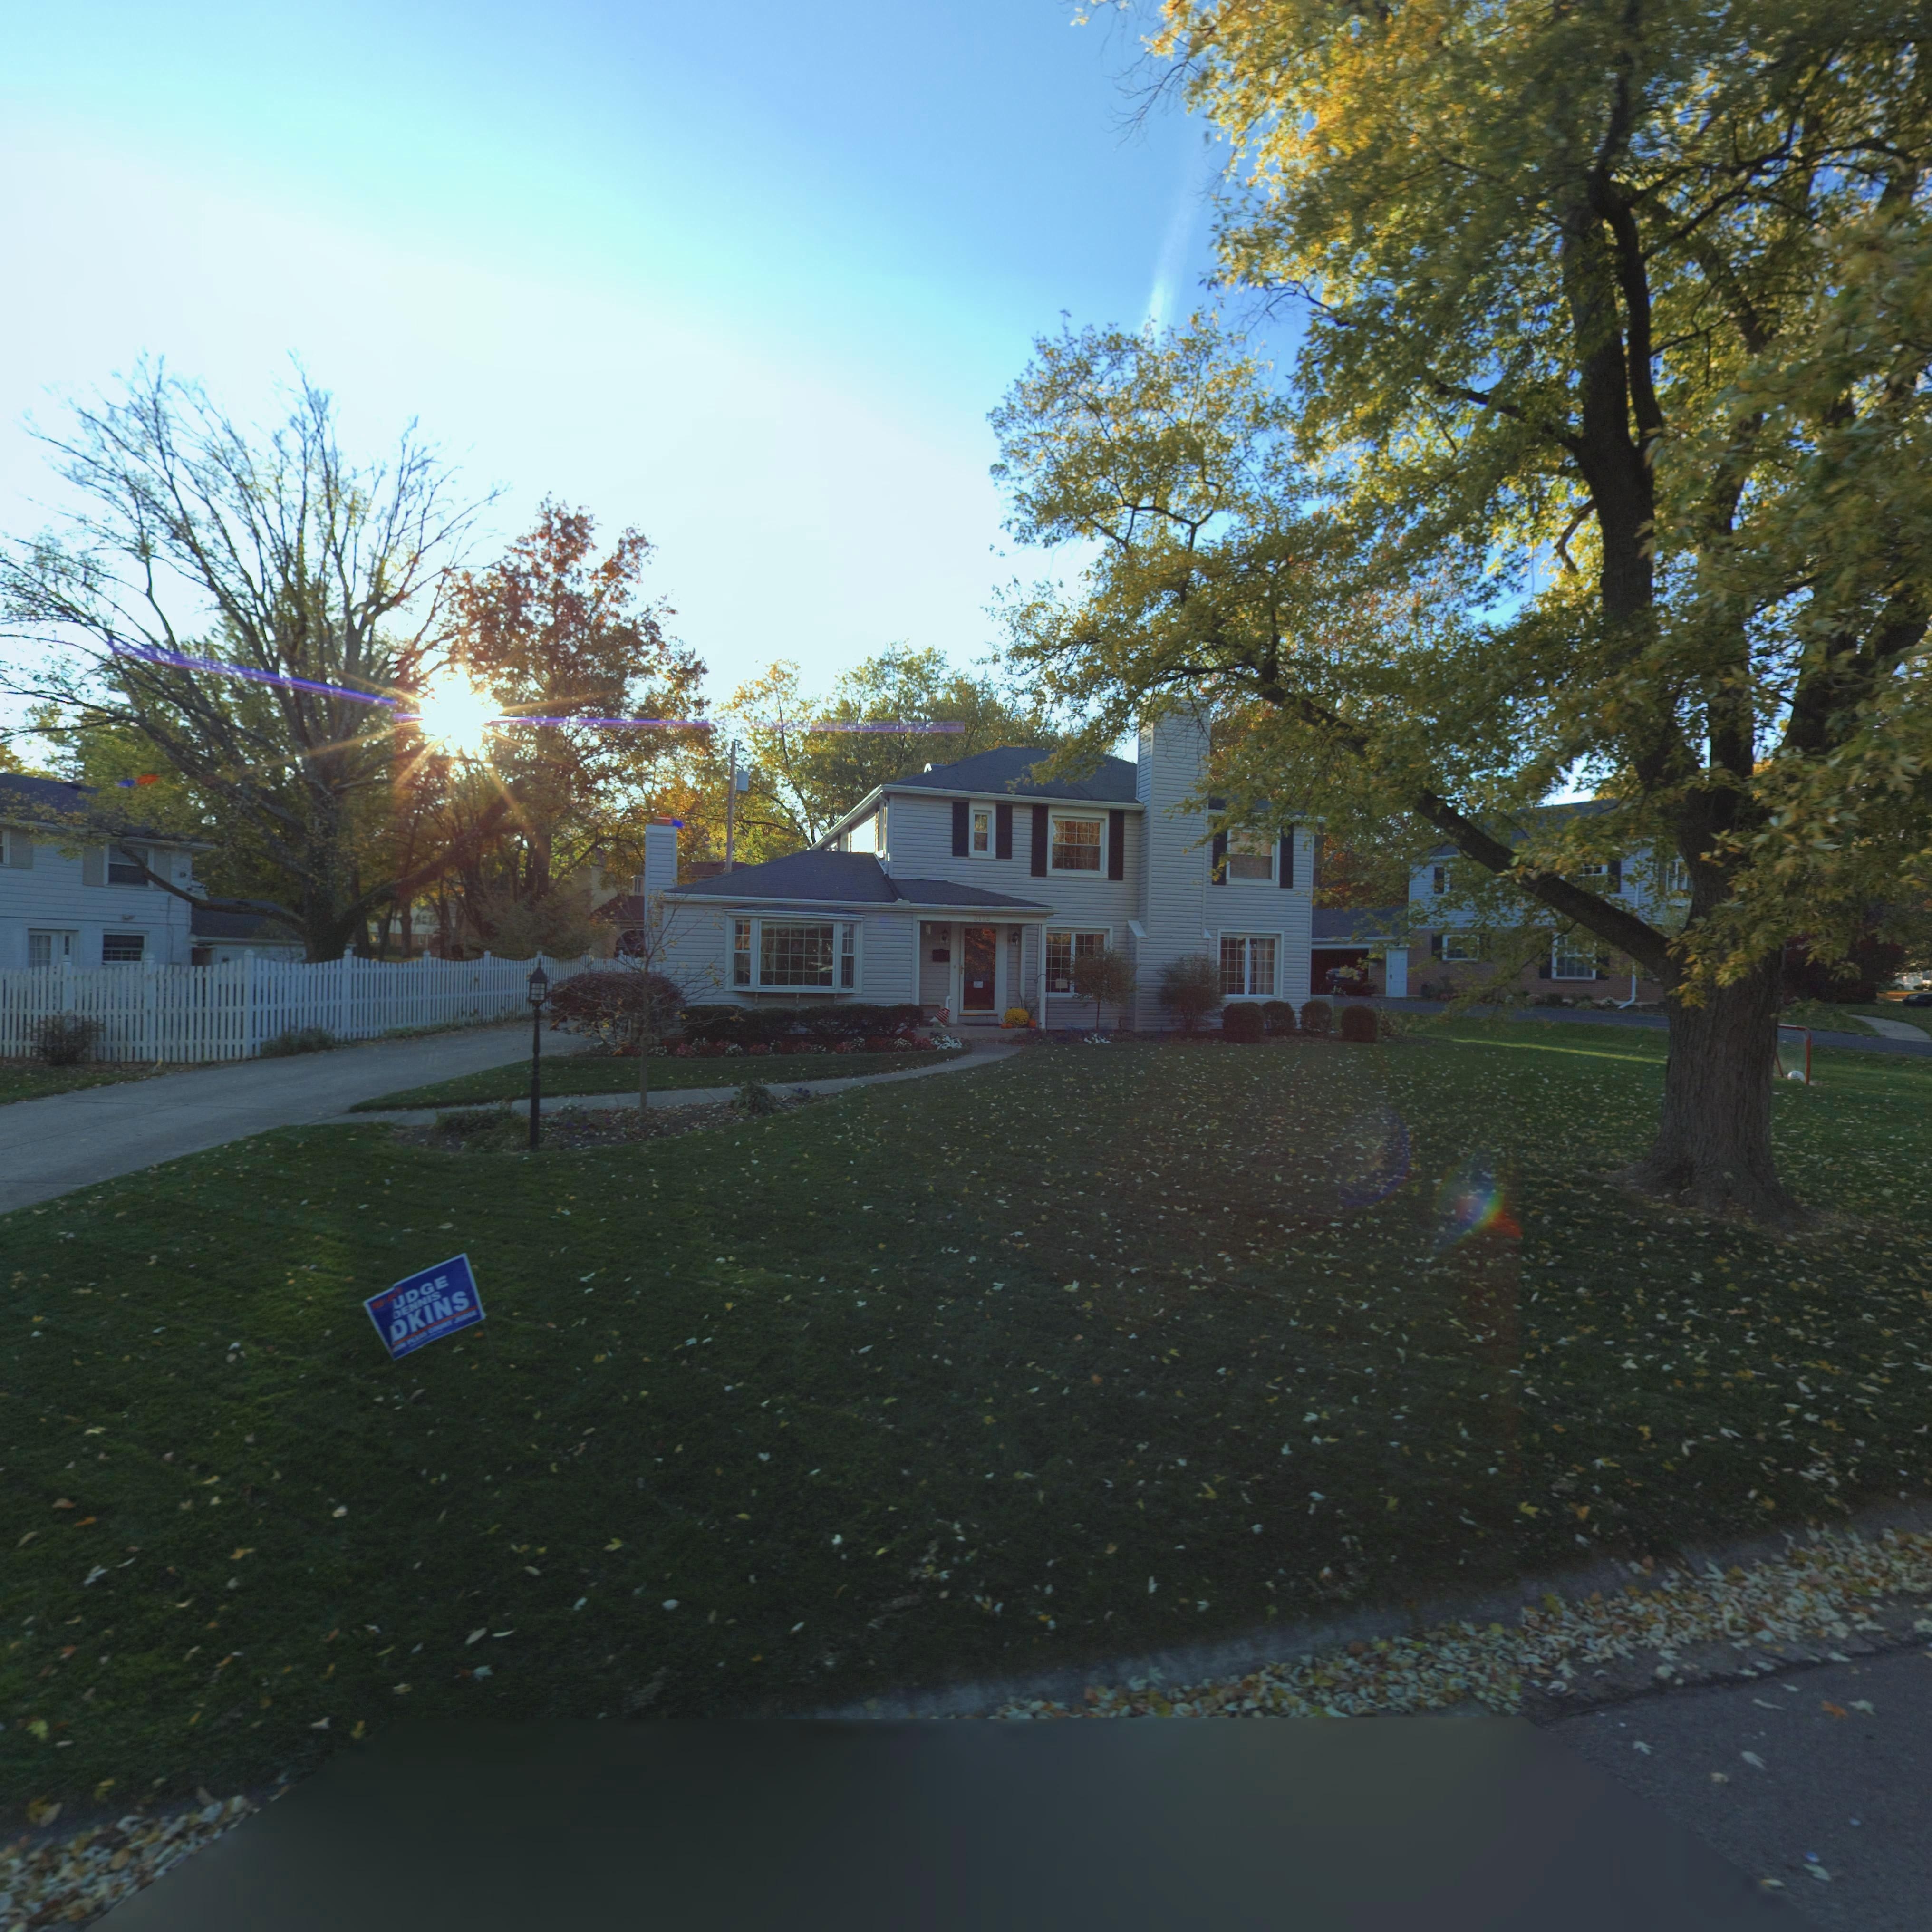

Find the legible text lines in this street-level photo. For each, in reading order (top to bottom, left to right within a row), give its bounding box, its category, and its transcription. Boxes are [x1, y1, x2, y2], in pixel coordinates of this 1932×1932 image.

[973, 914, 991, 922] StreetNumber: 3175